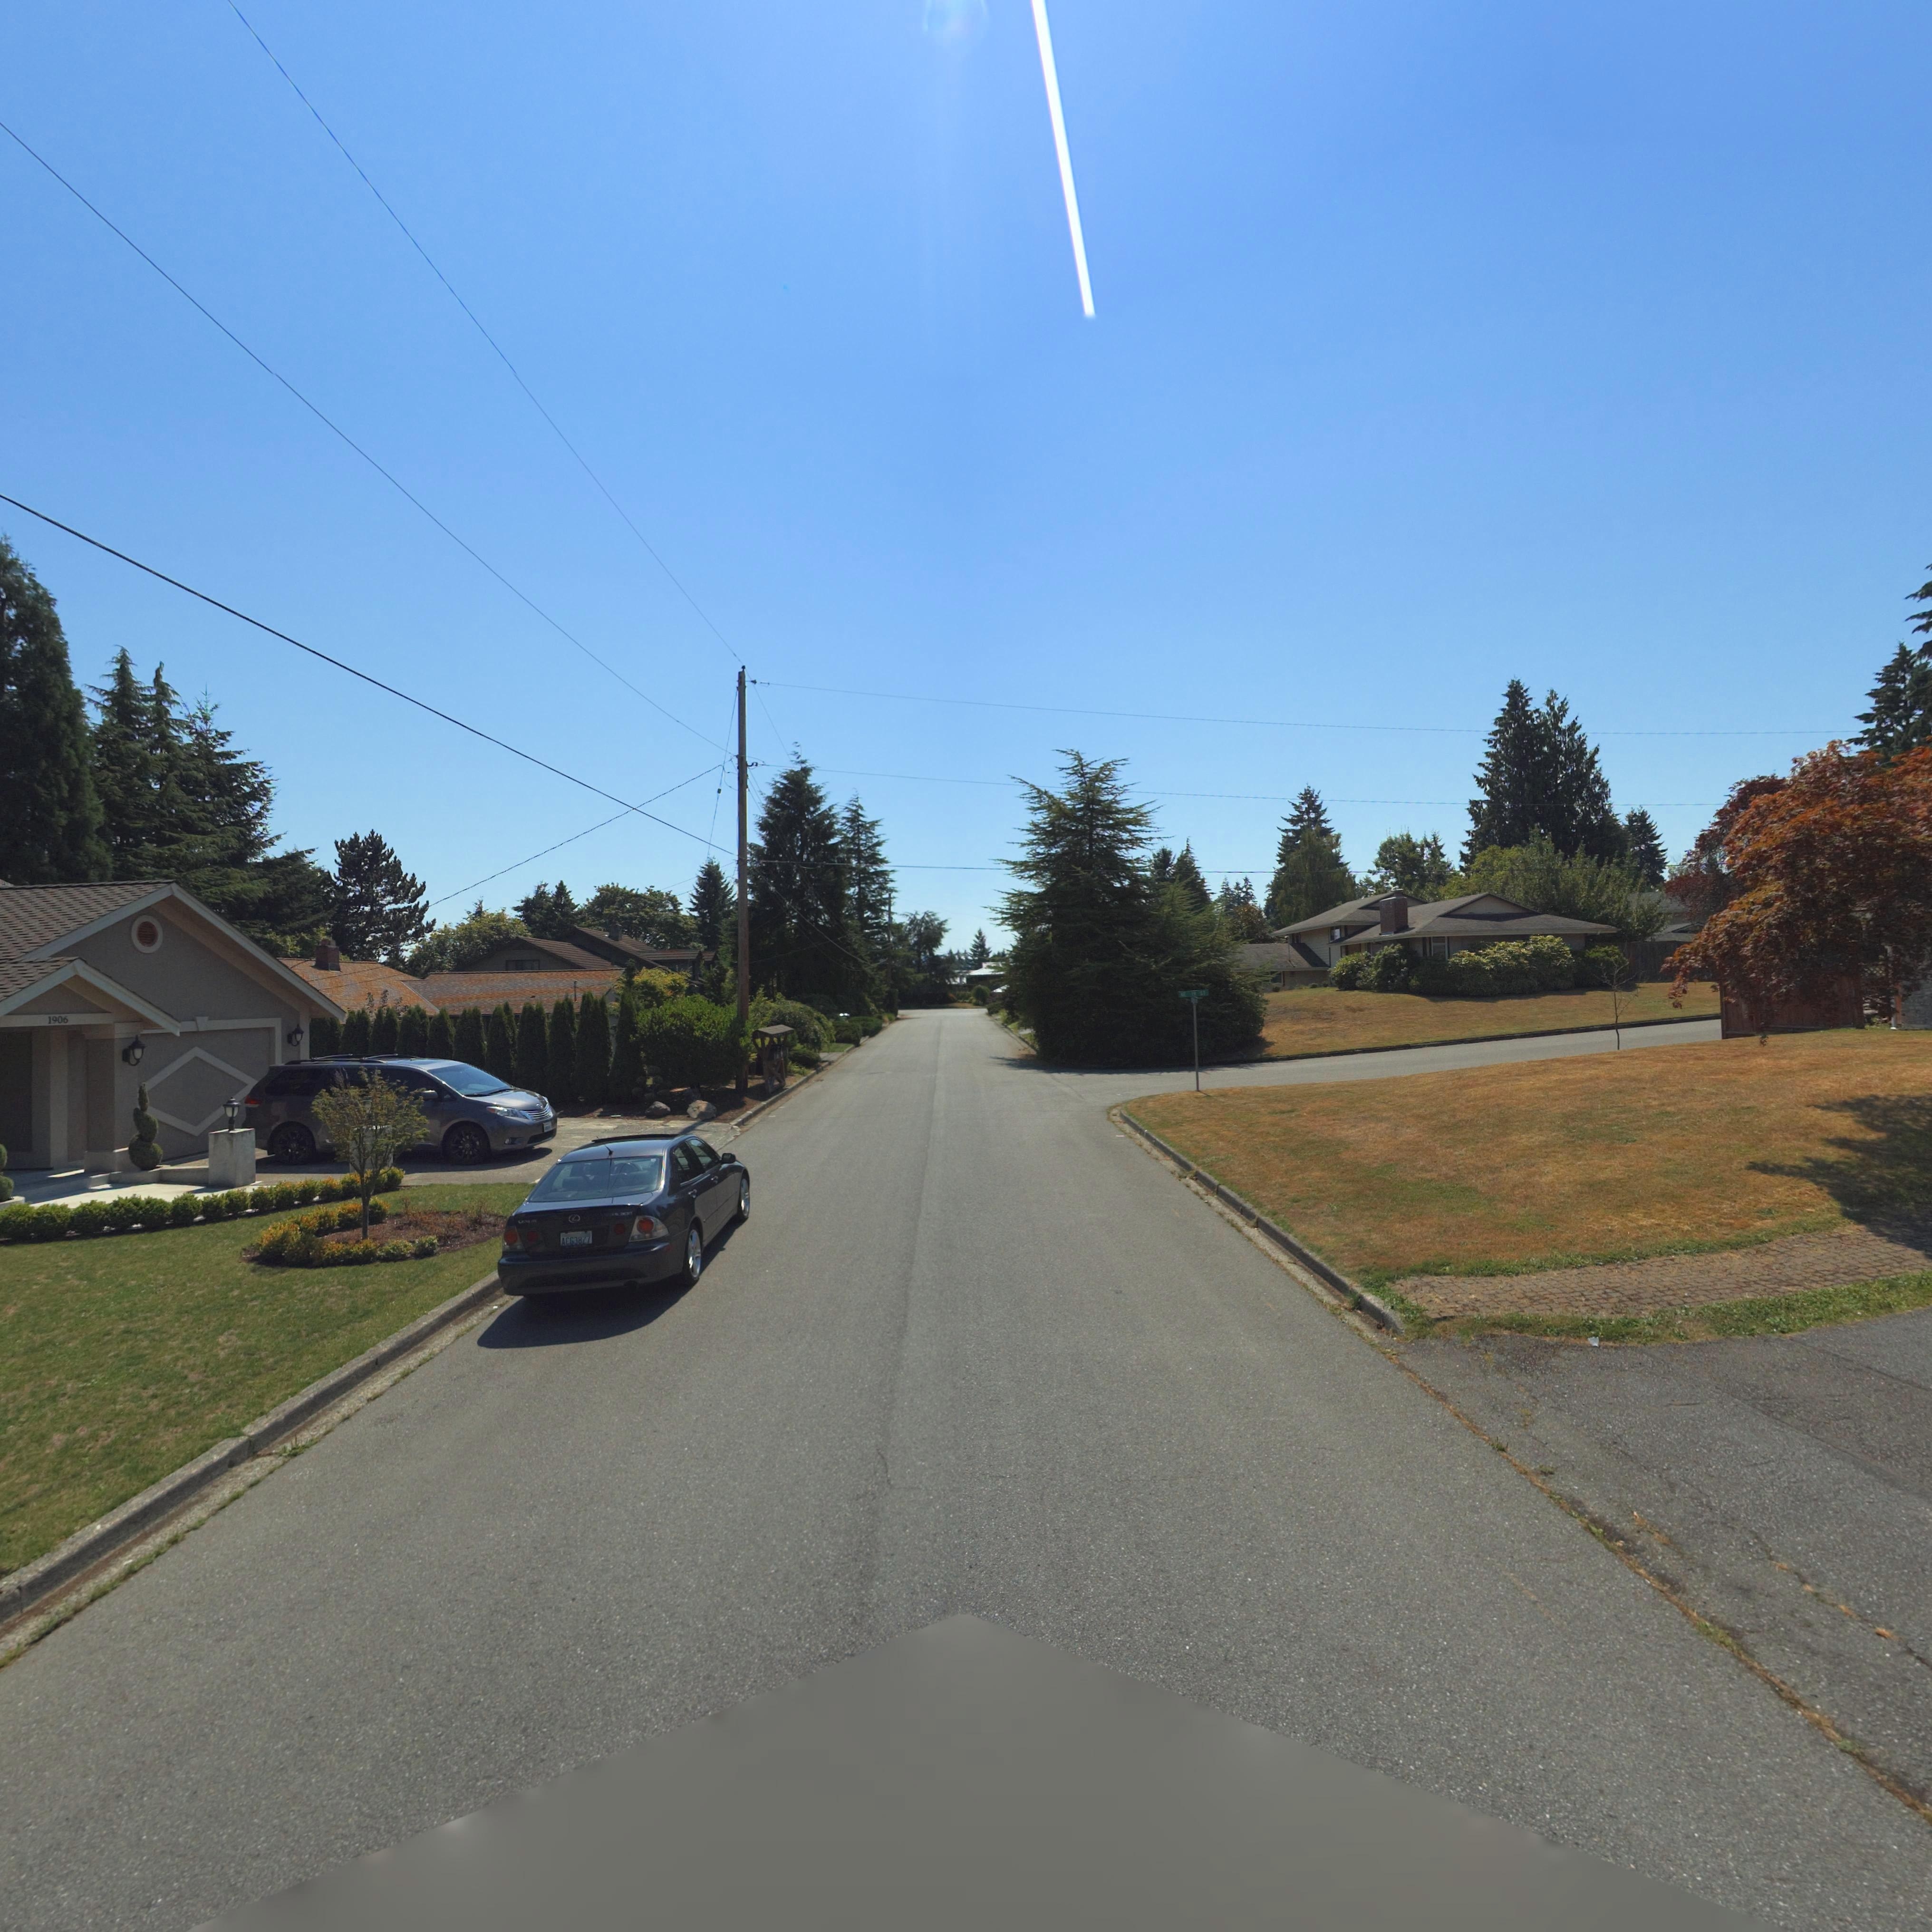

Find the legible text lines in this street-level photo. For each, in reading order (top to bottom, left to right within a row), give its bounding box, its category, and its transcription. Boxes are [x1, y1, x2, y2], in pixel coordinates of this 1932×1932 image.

[48, 1015, 68, 1024] StreetNumber: 1906